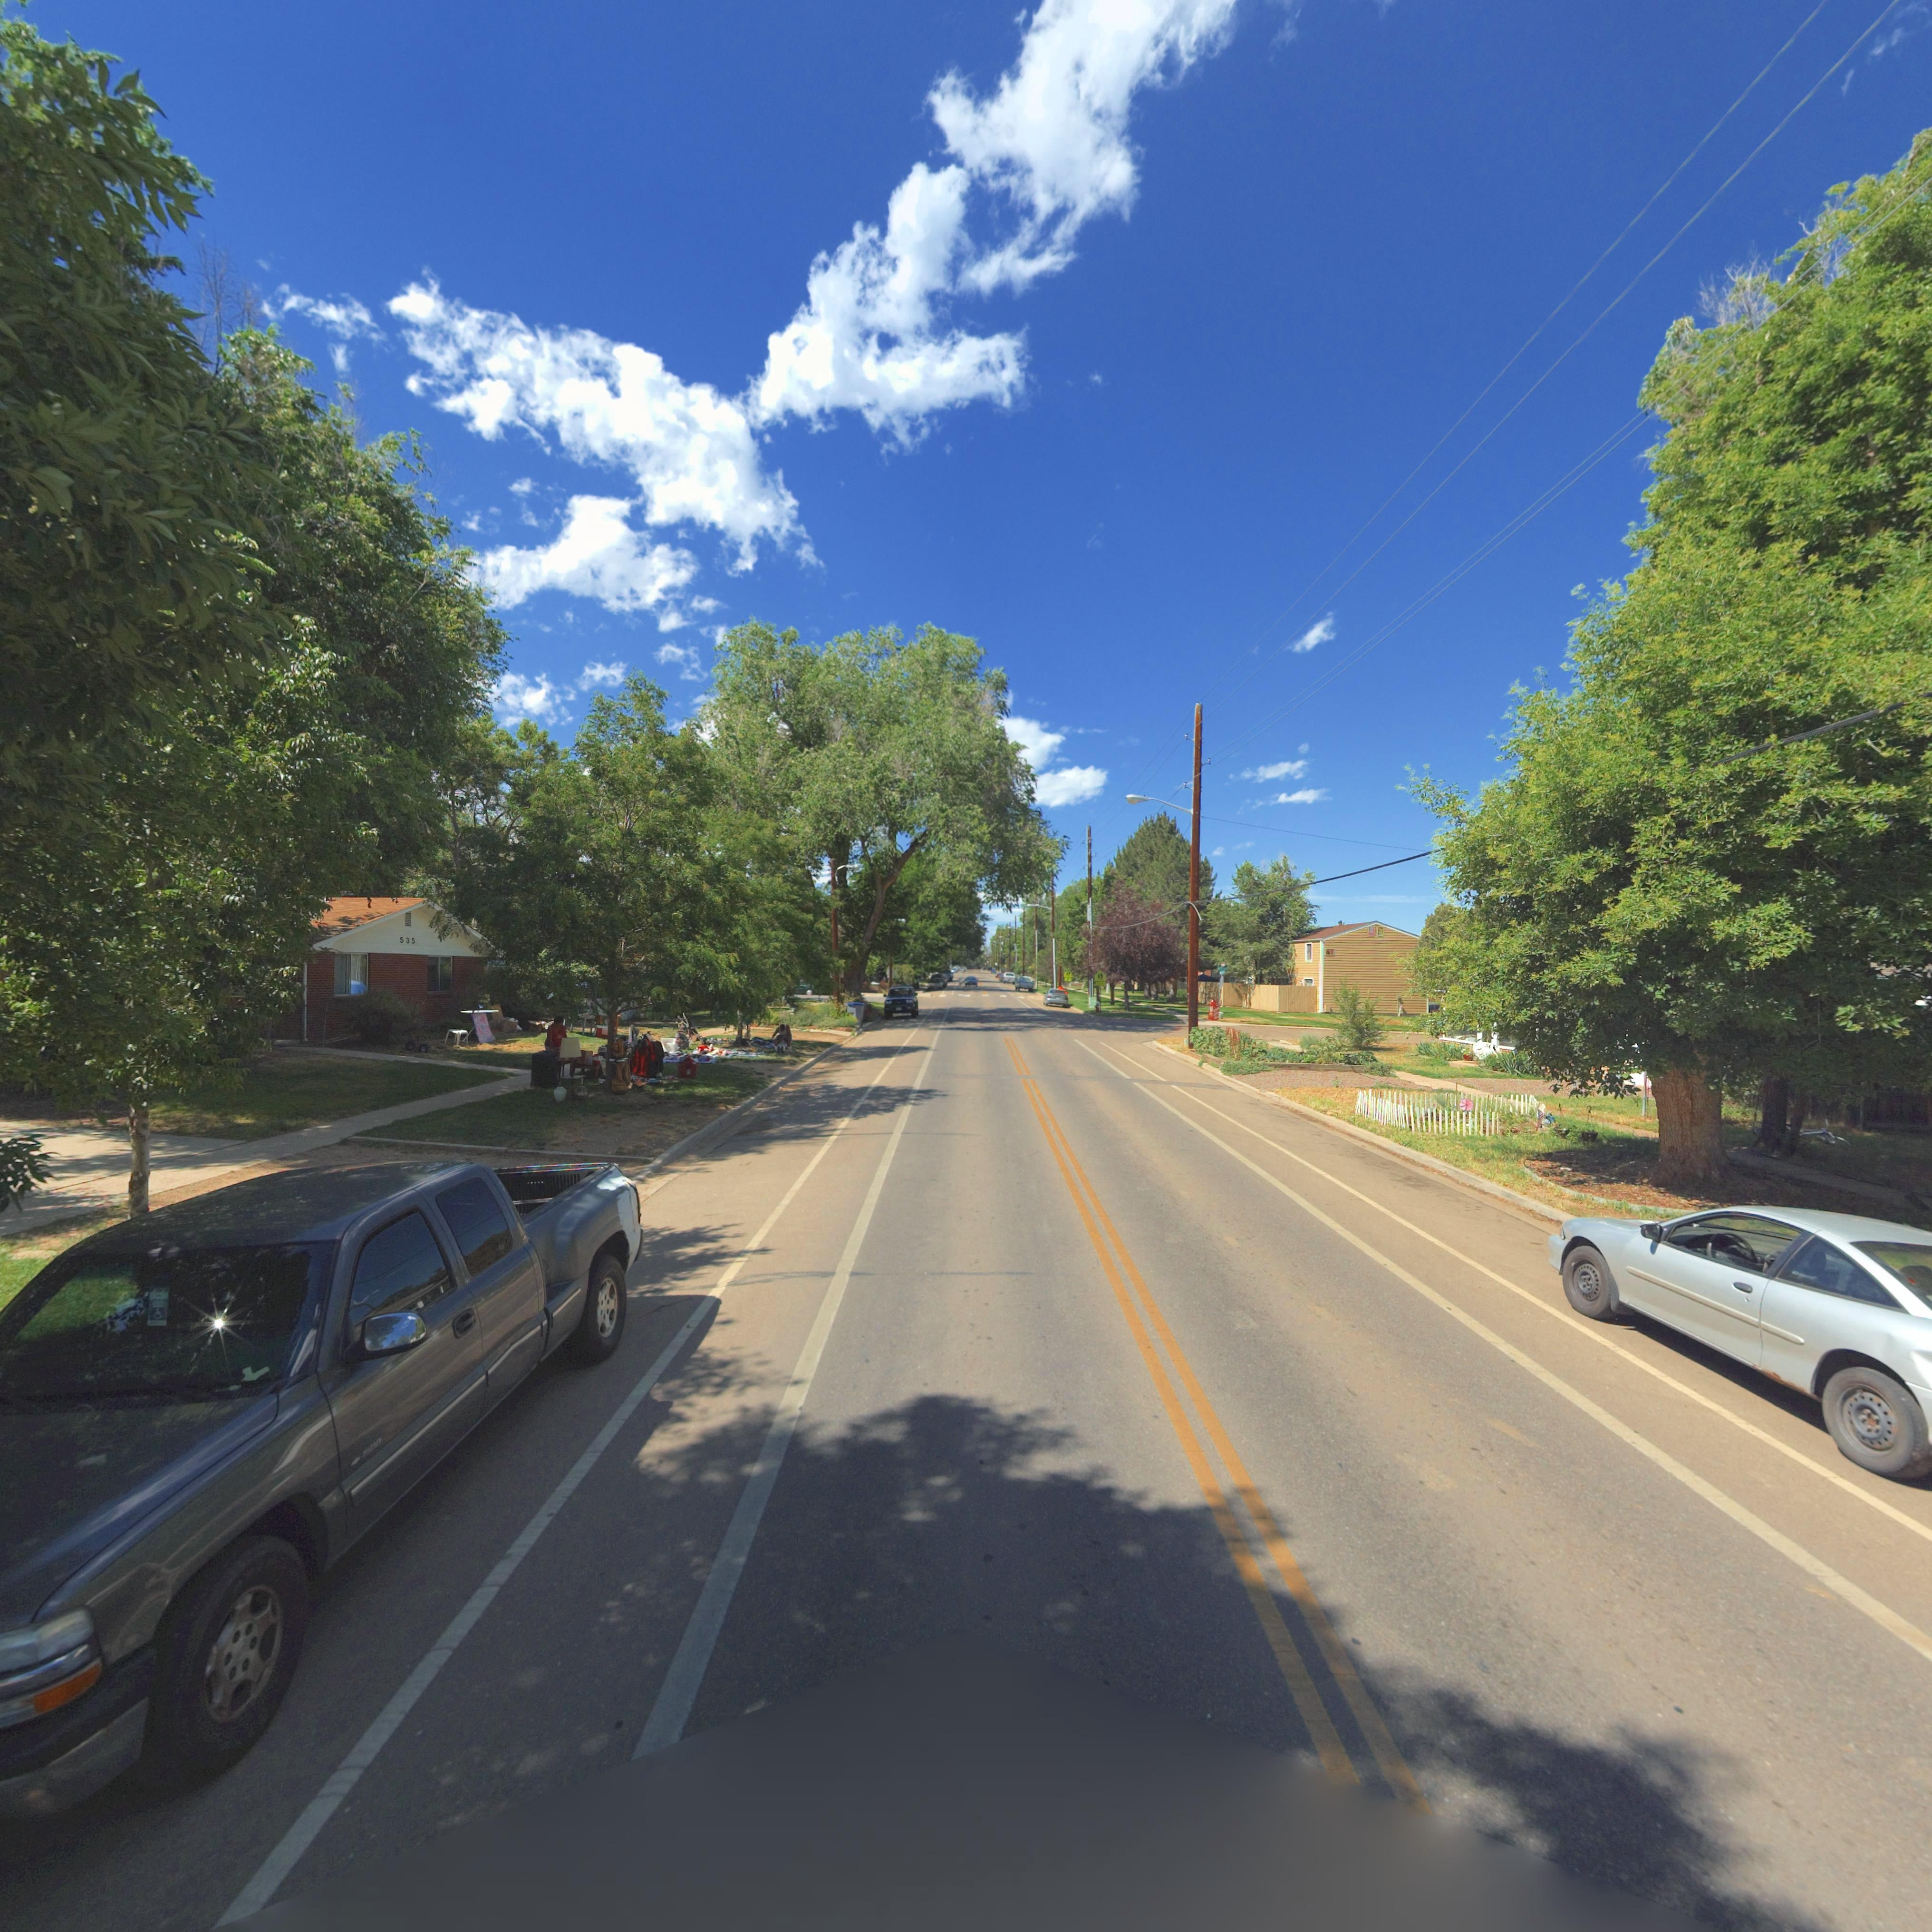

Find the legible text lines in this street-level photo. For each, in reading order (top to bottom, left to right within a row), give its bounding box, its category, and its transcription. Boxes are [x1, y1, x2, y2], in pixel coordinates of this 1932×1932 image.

[400, 937, 415, 944] StreetNumber: 535